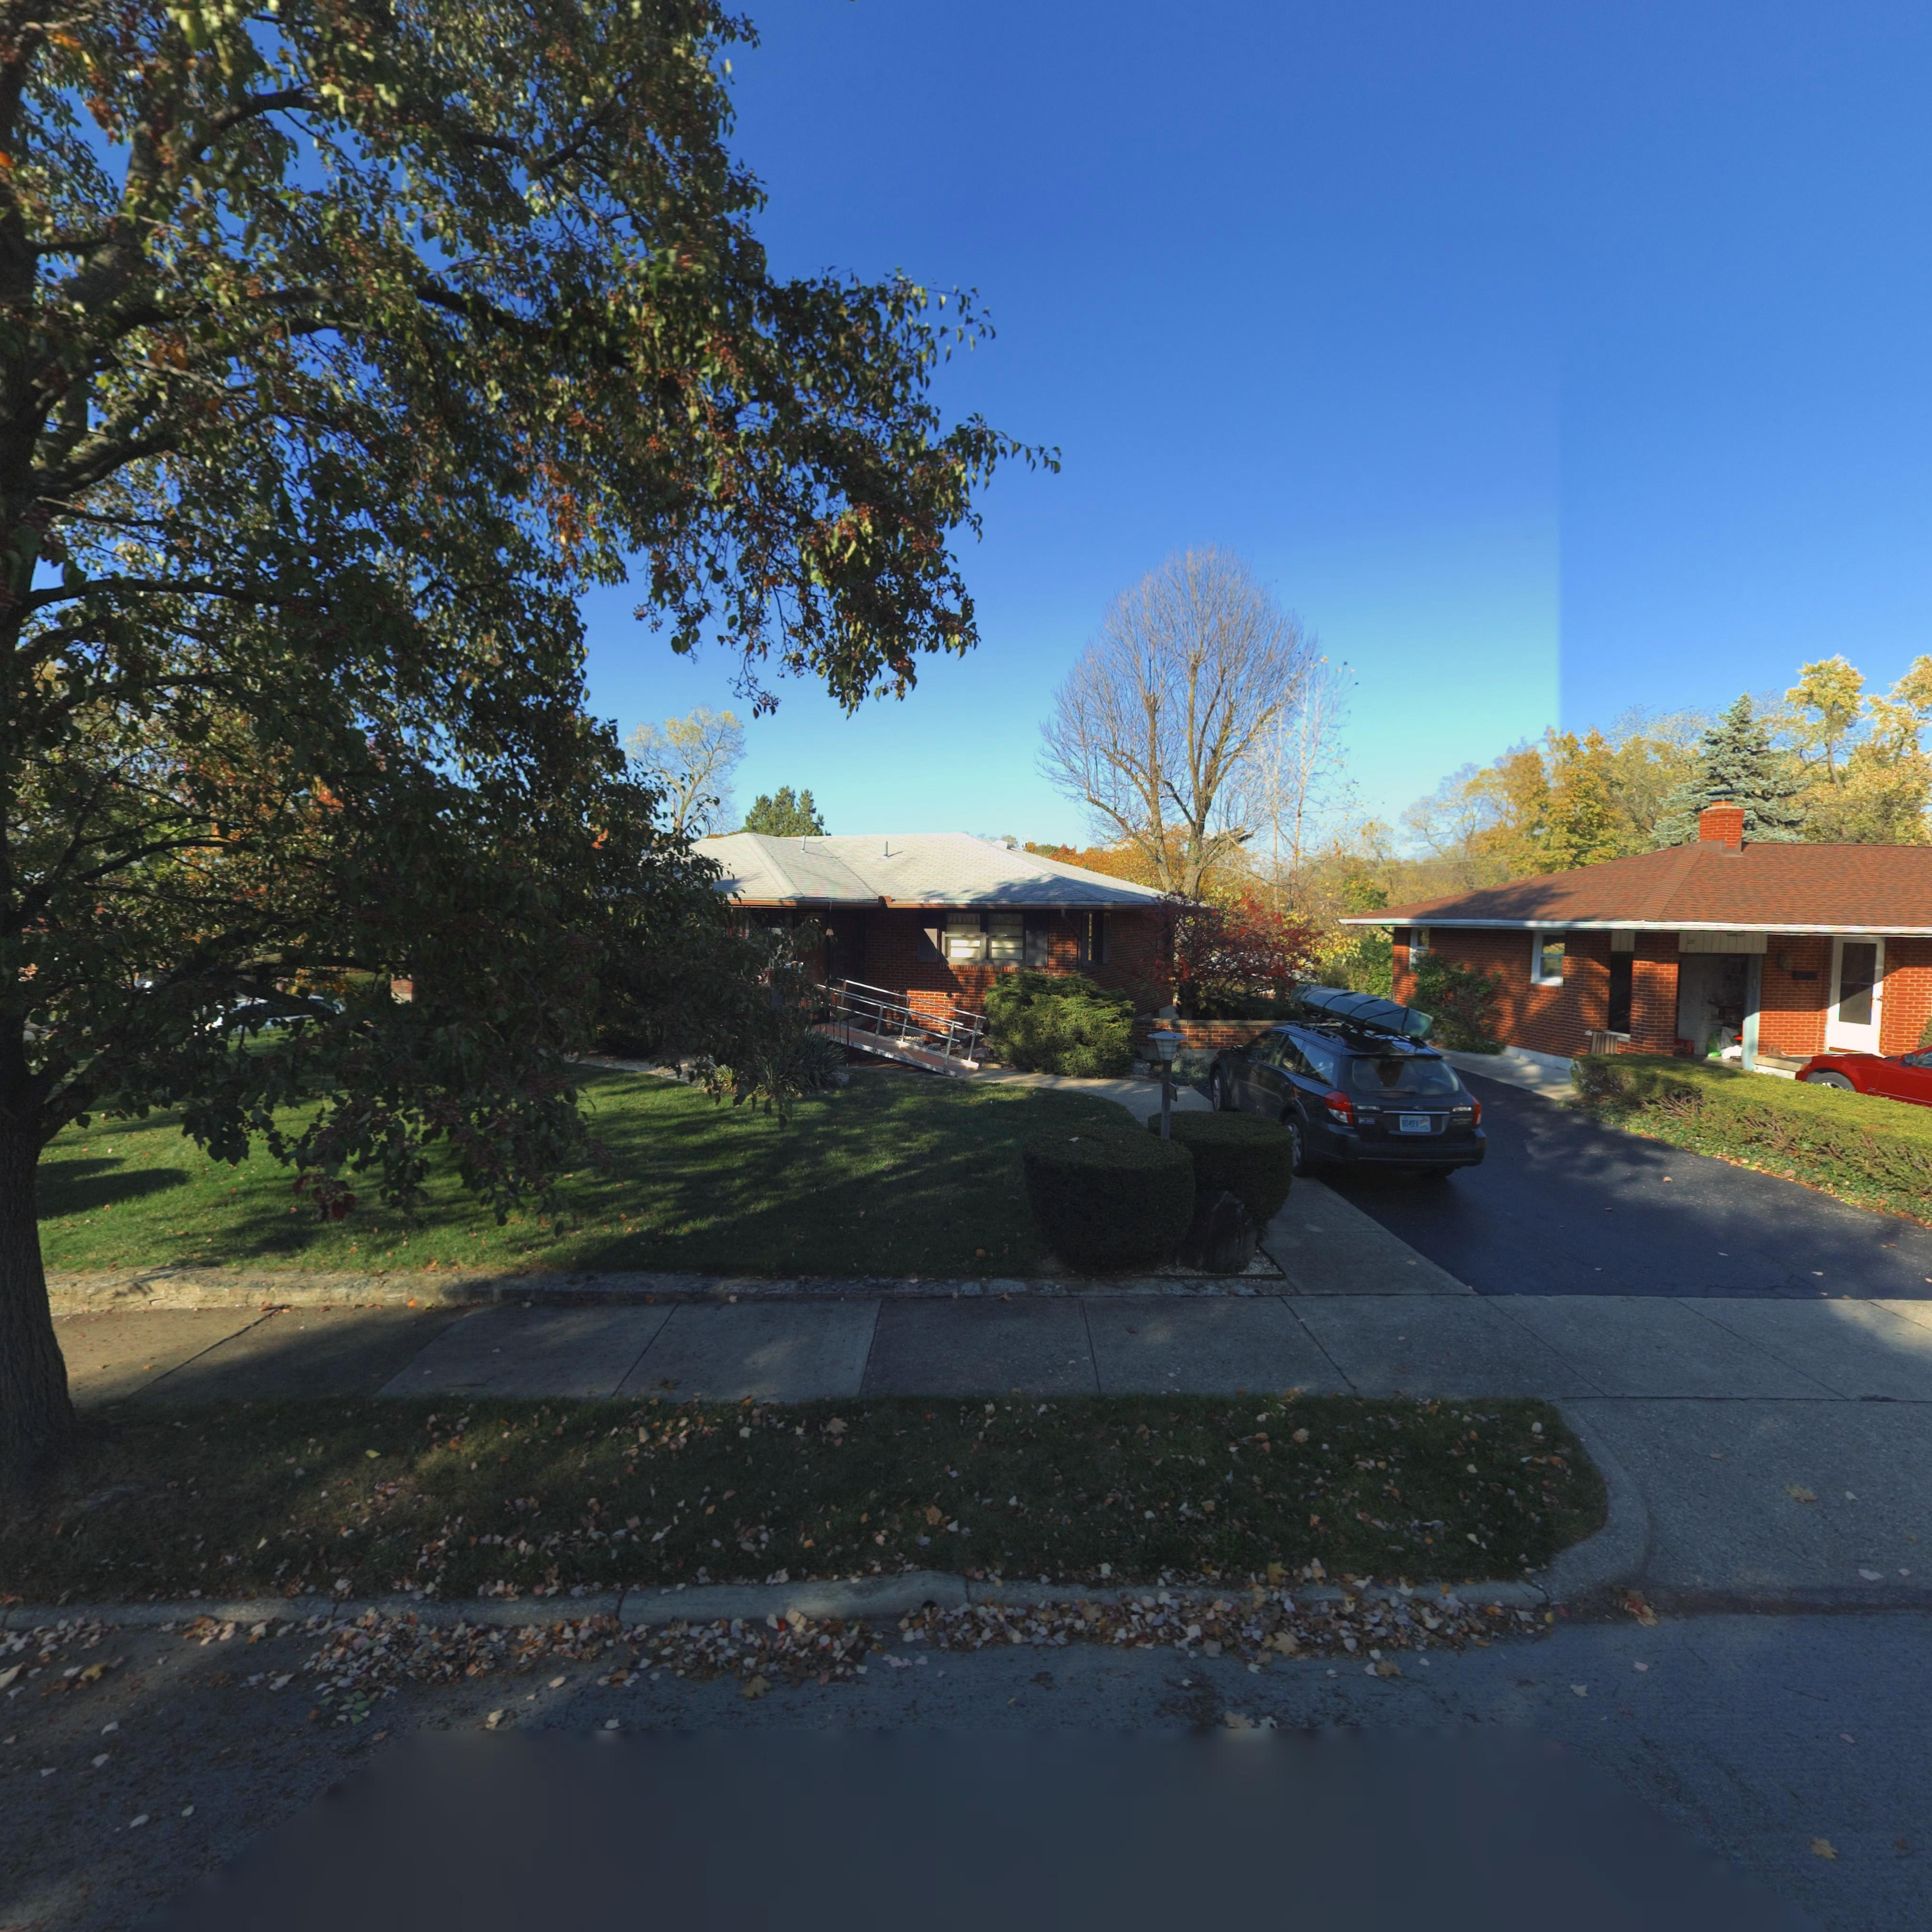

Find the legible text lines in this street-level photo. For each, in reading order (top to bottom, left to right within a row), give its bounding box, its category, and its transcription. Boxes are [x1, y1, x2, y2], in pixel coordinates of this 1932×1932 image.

[1686, 938, 1695, 945] StreetNumber: 23